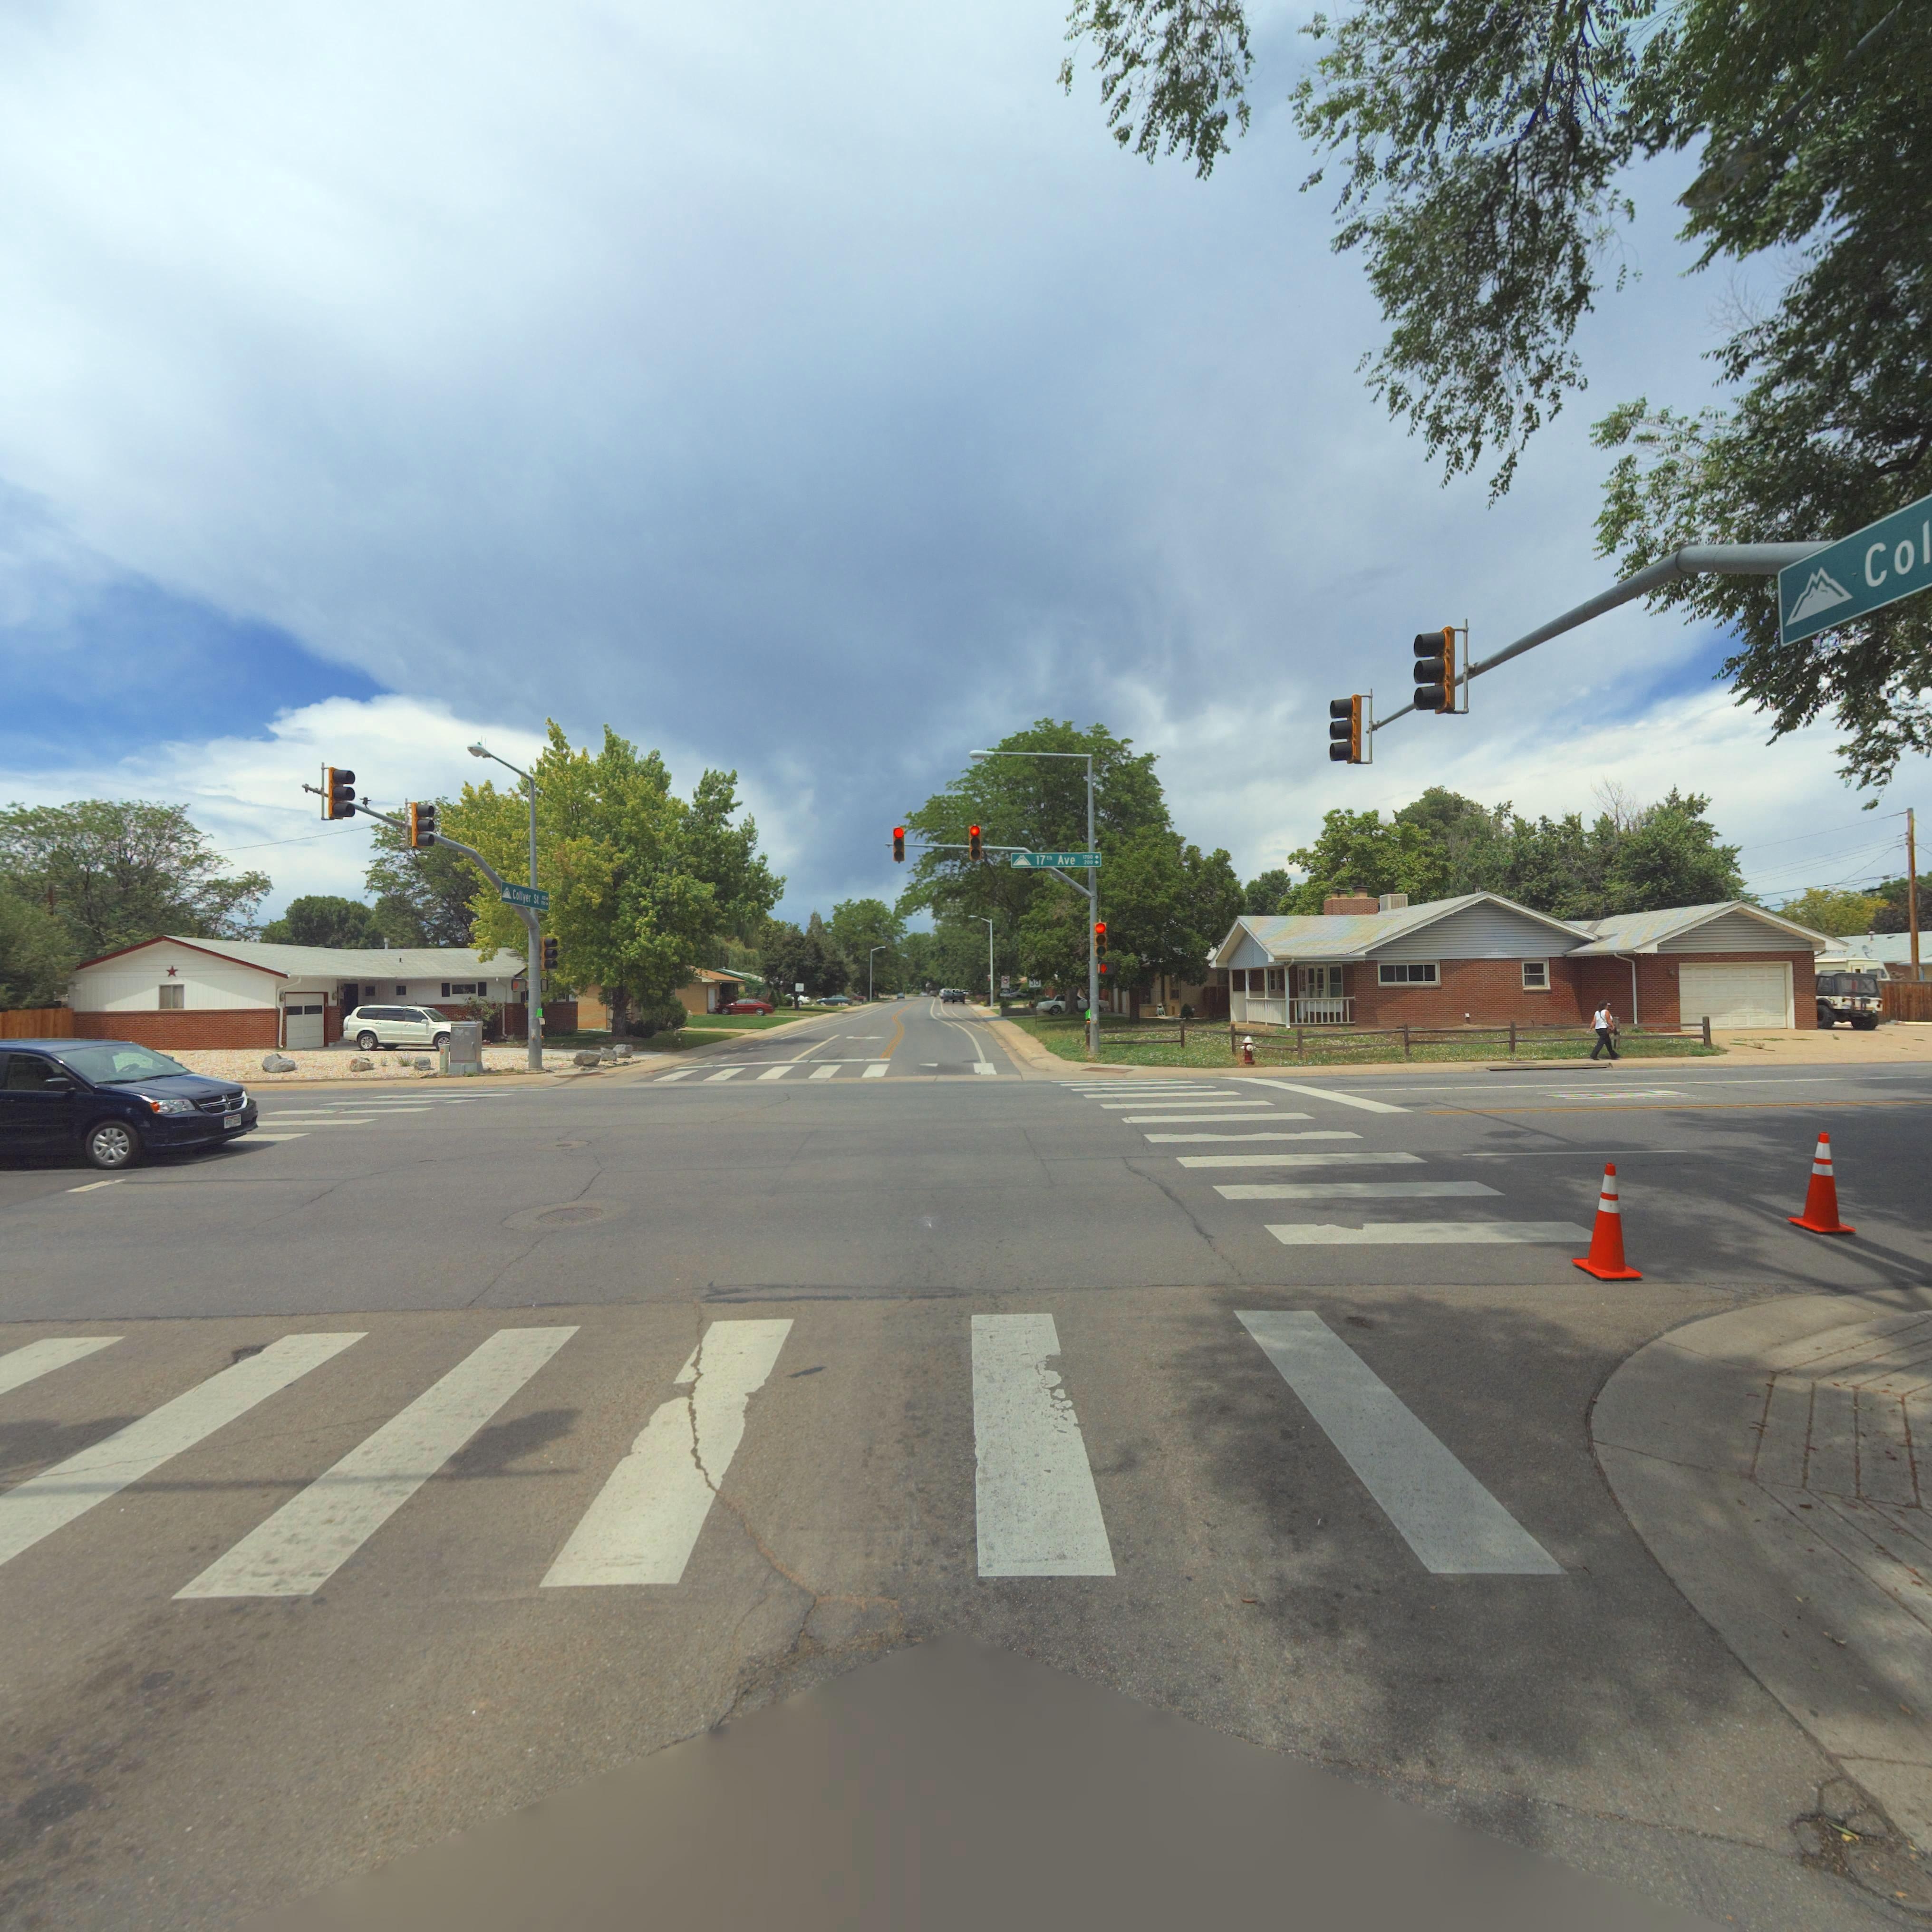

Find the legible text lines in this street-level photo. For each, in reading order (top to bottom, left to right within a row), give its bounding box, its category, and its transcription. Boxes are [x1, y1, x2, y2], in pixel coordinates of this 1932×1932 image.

[1863, 518, 1931, 589] StreetName: Col
[1036, 855, 1075, 865] StreetName: 17th Ave
[1082, 854, 1099, 860] StreetNumberRange: 1700->
[1083, 860, 1099, 865] StreetNumberRange: 200->
[512, 889, 539, 905] StreetName: Collyer St